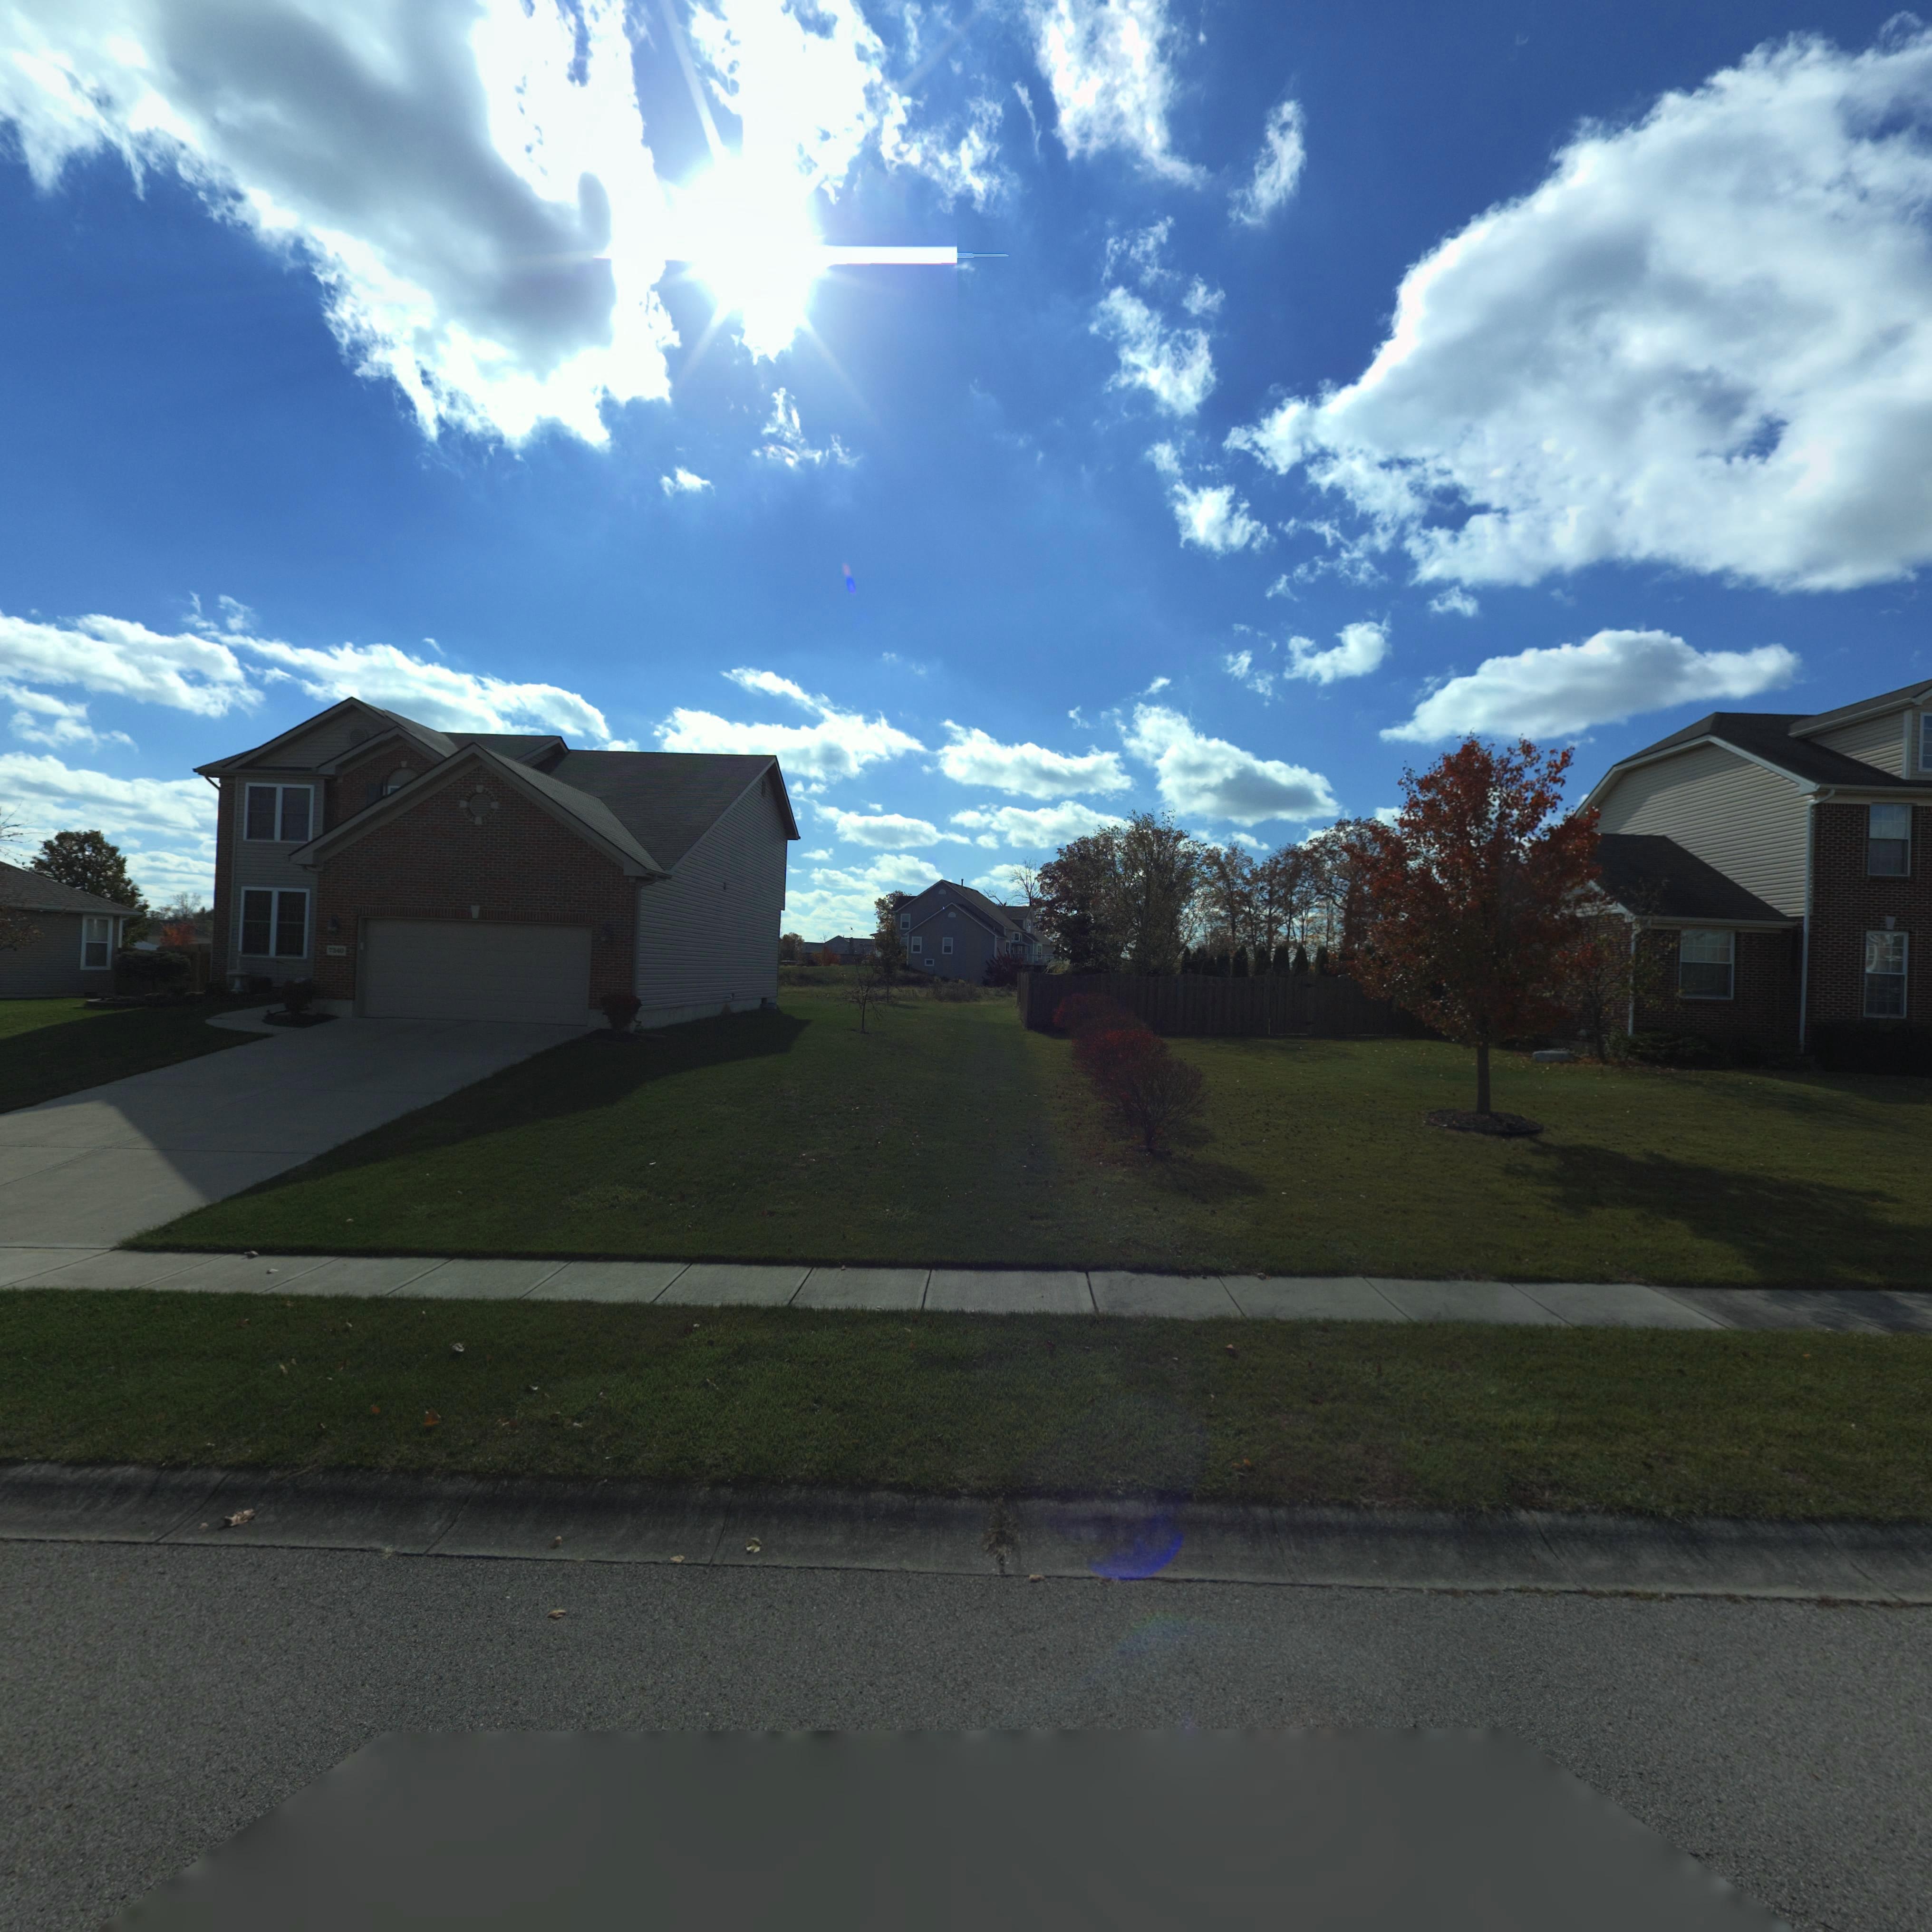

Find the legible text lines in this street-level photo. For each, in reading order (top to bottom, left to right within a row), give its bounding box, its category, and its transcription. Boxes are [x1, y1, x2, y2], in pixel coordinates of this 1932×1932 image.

[328, 947, 345, 954] StreetNumber: 7340